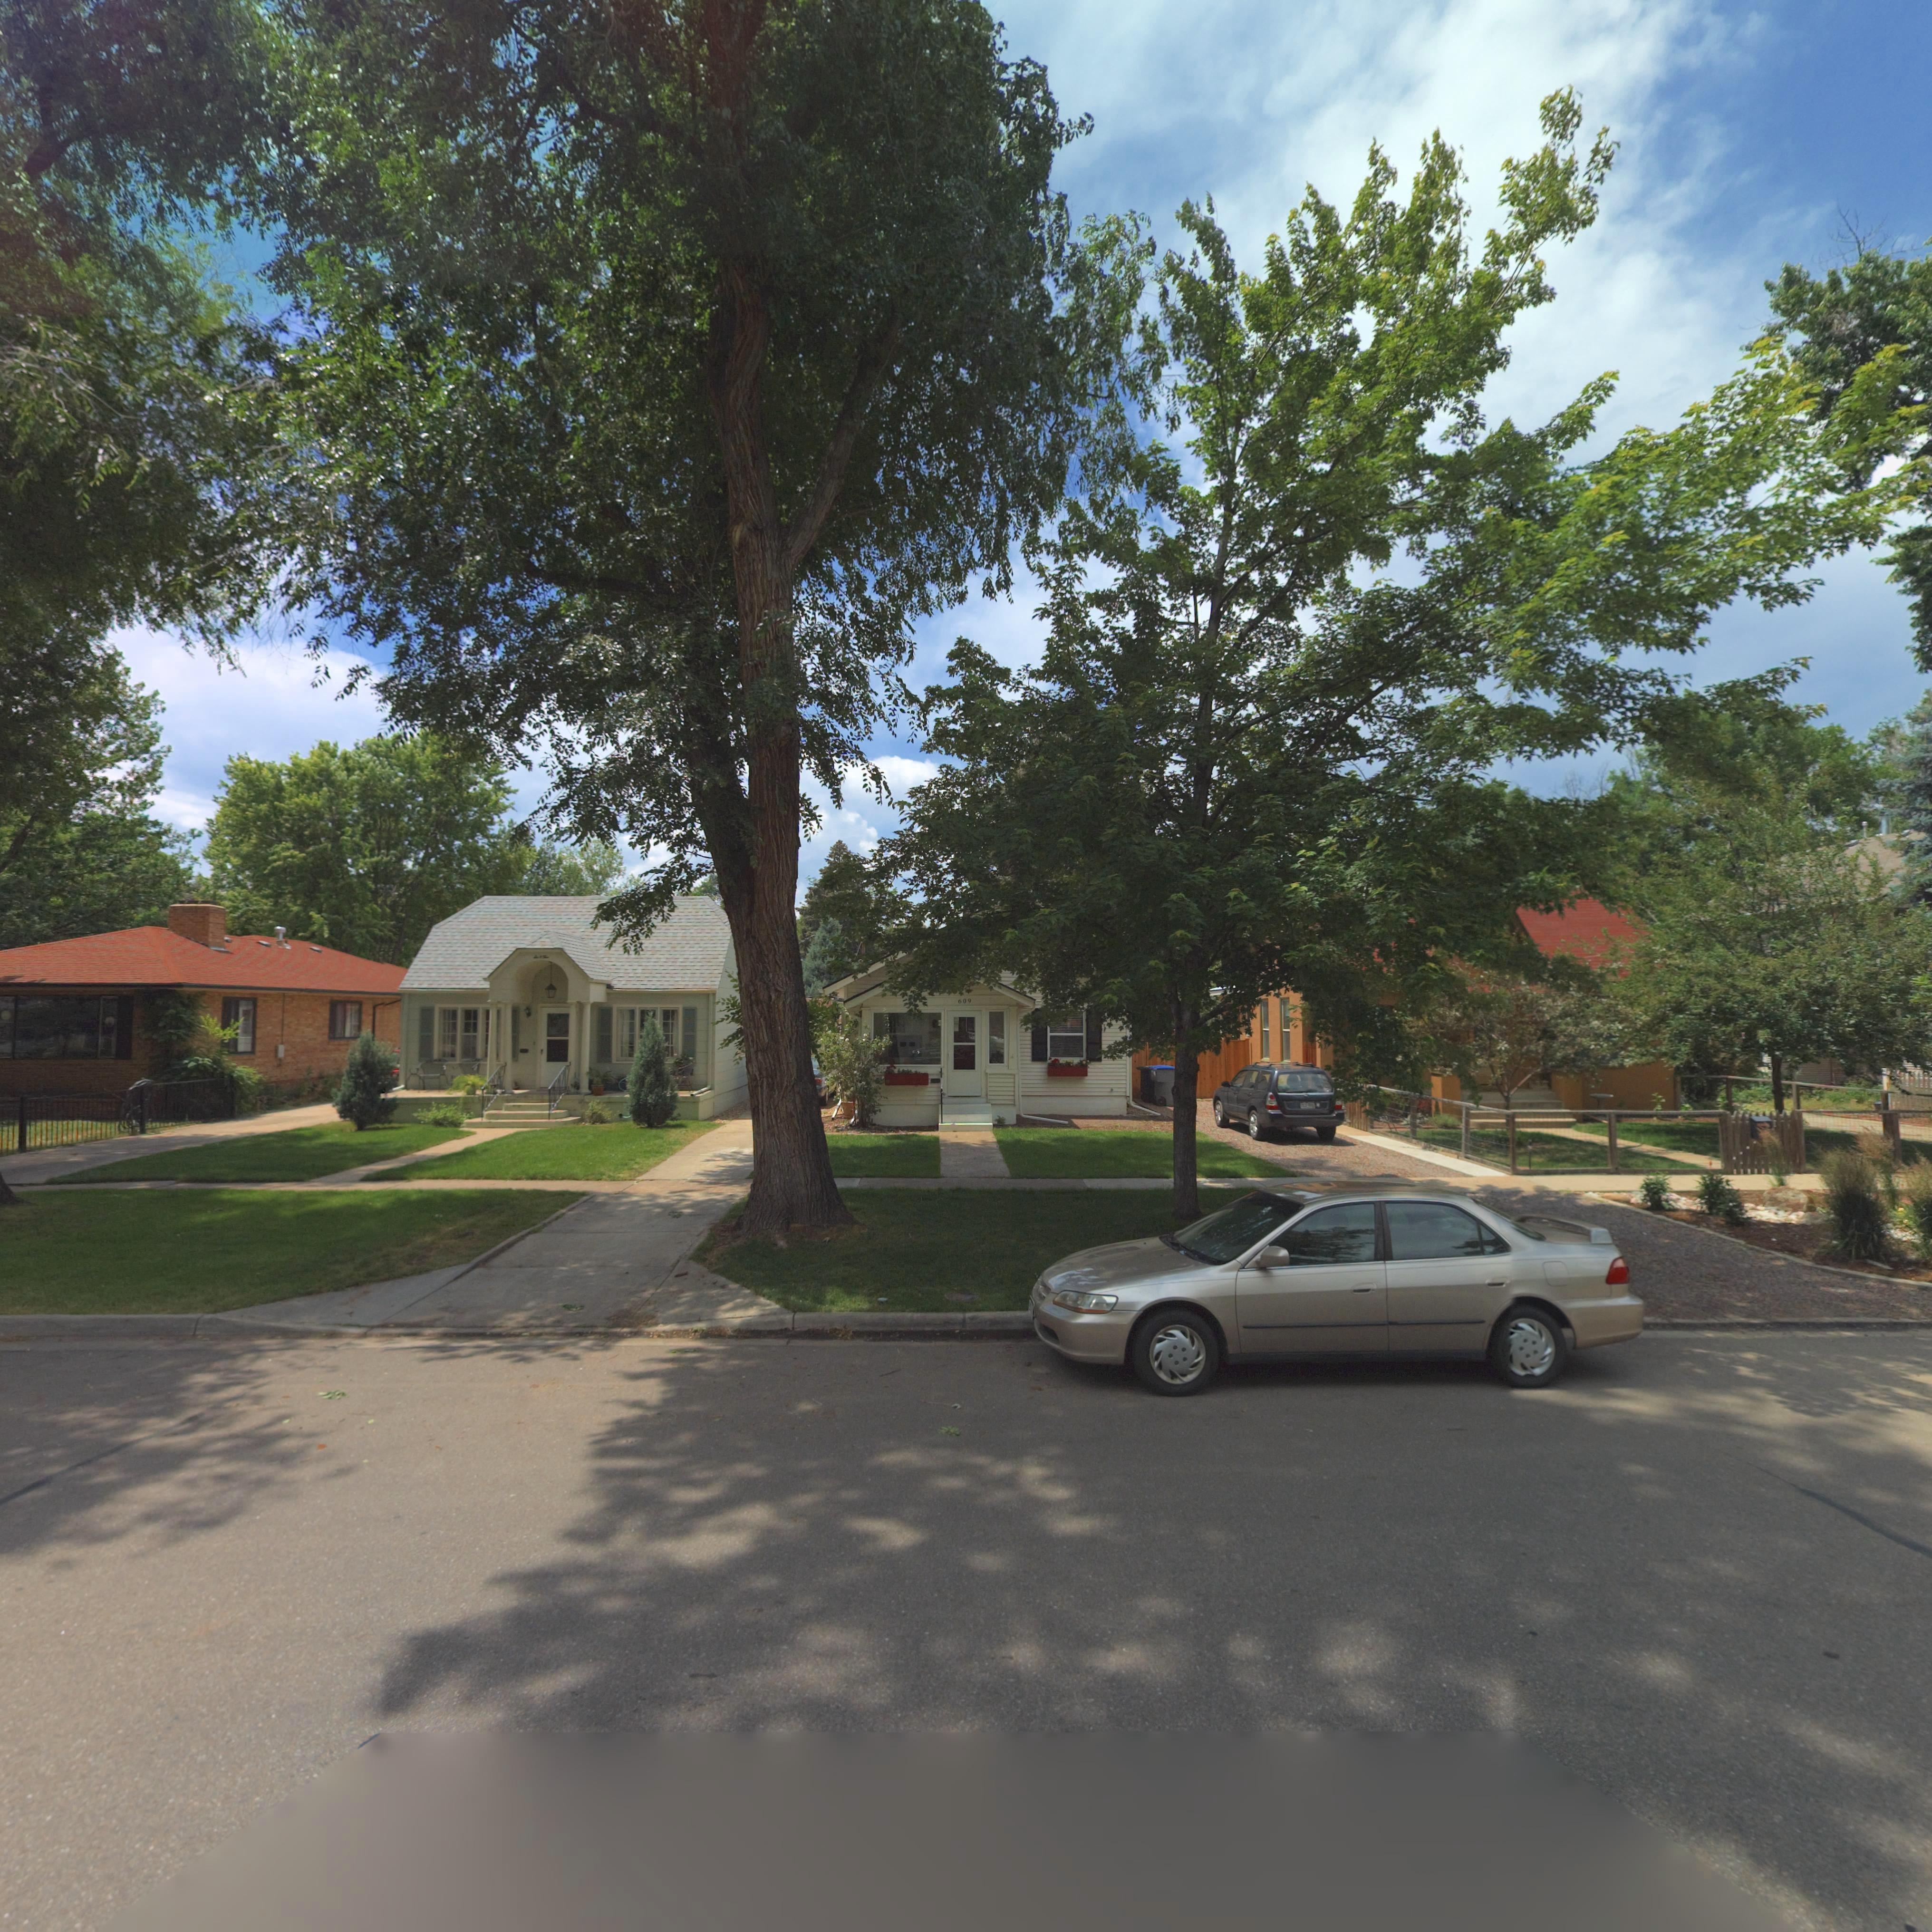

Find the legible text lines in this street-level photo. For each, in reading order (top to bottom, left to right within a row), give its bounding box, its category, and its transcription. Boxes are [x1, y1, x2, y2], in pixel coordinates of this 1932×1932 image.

[957, 998, 971, 1004] StreetNumber: 609